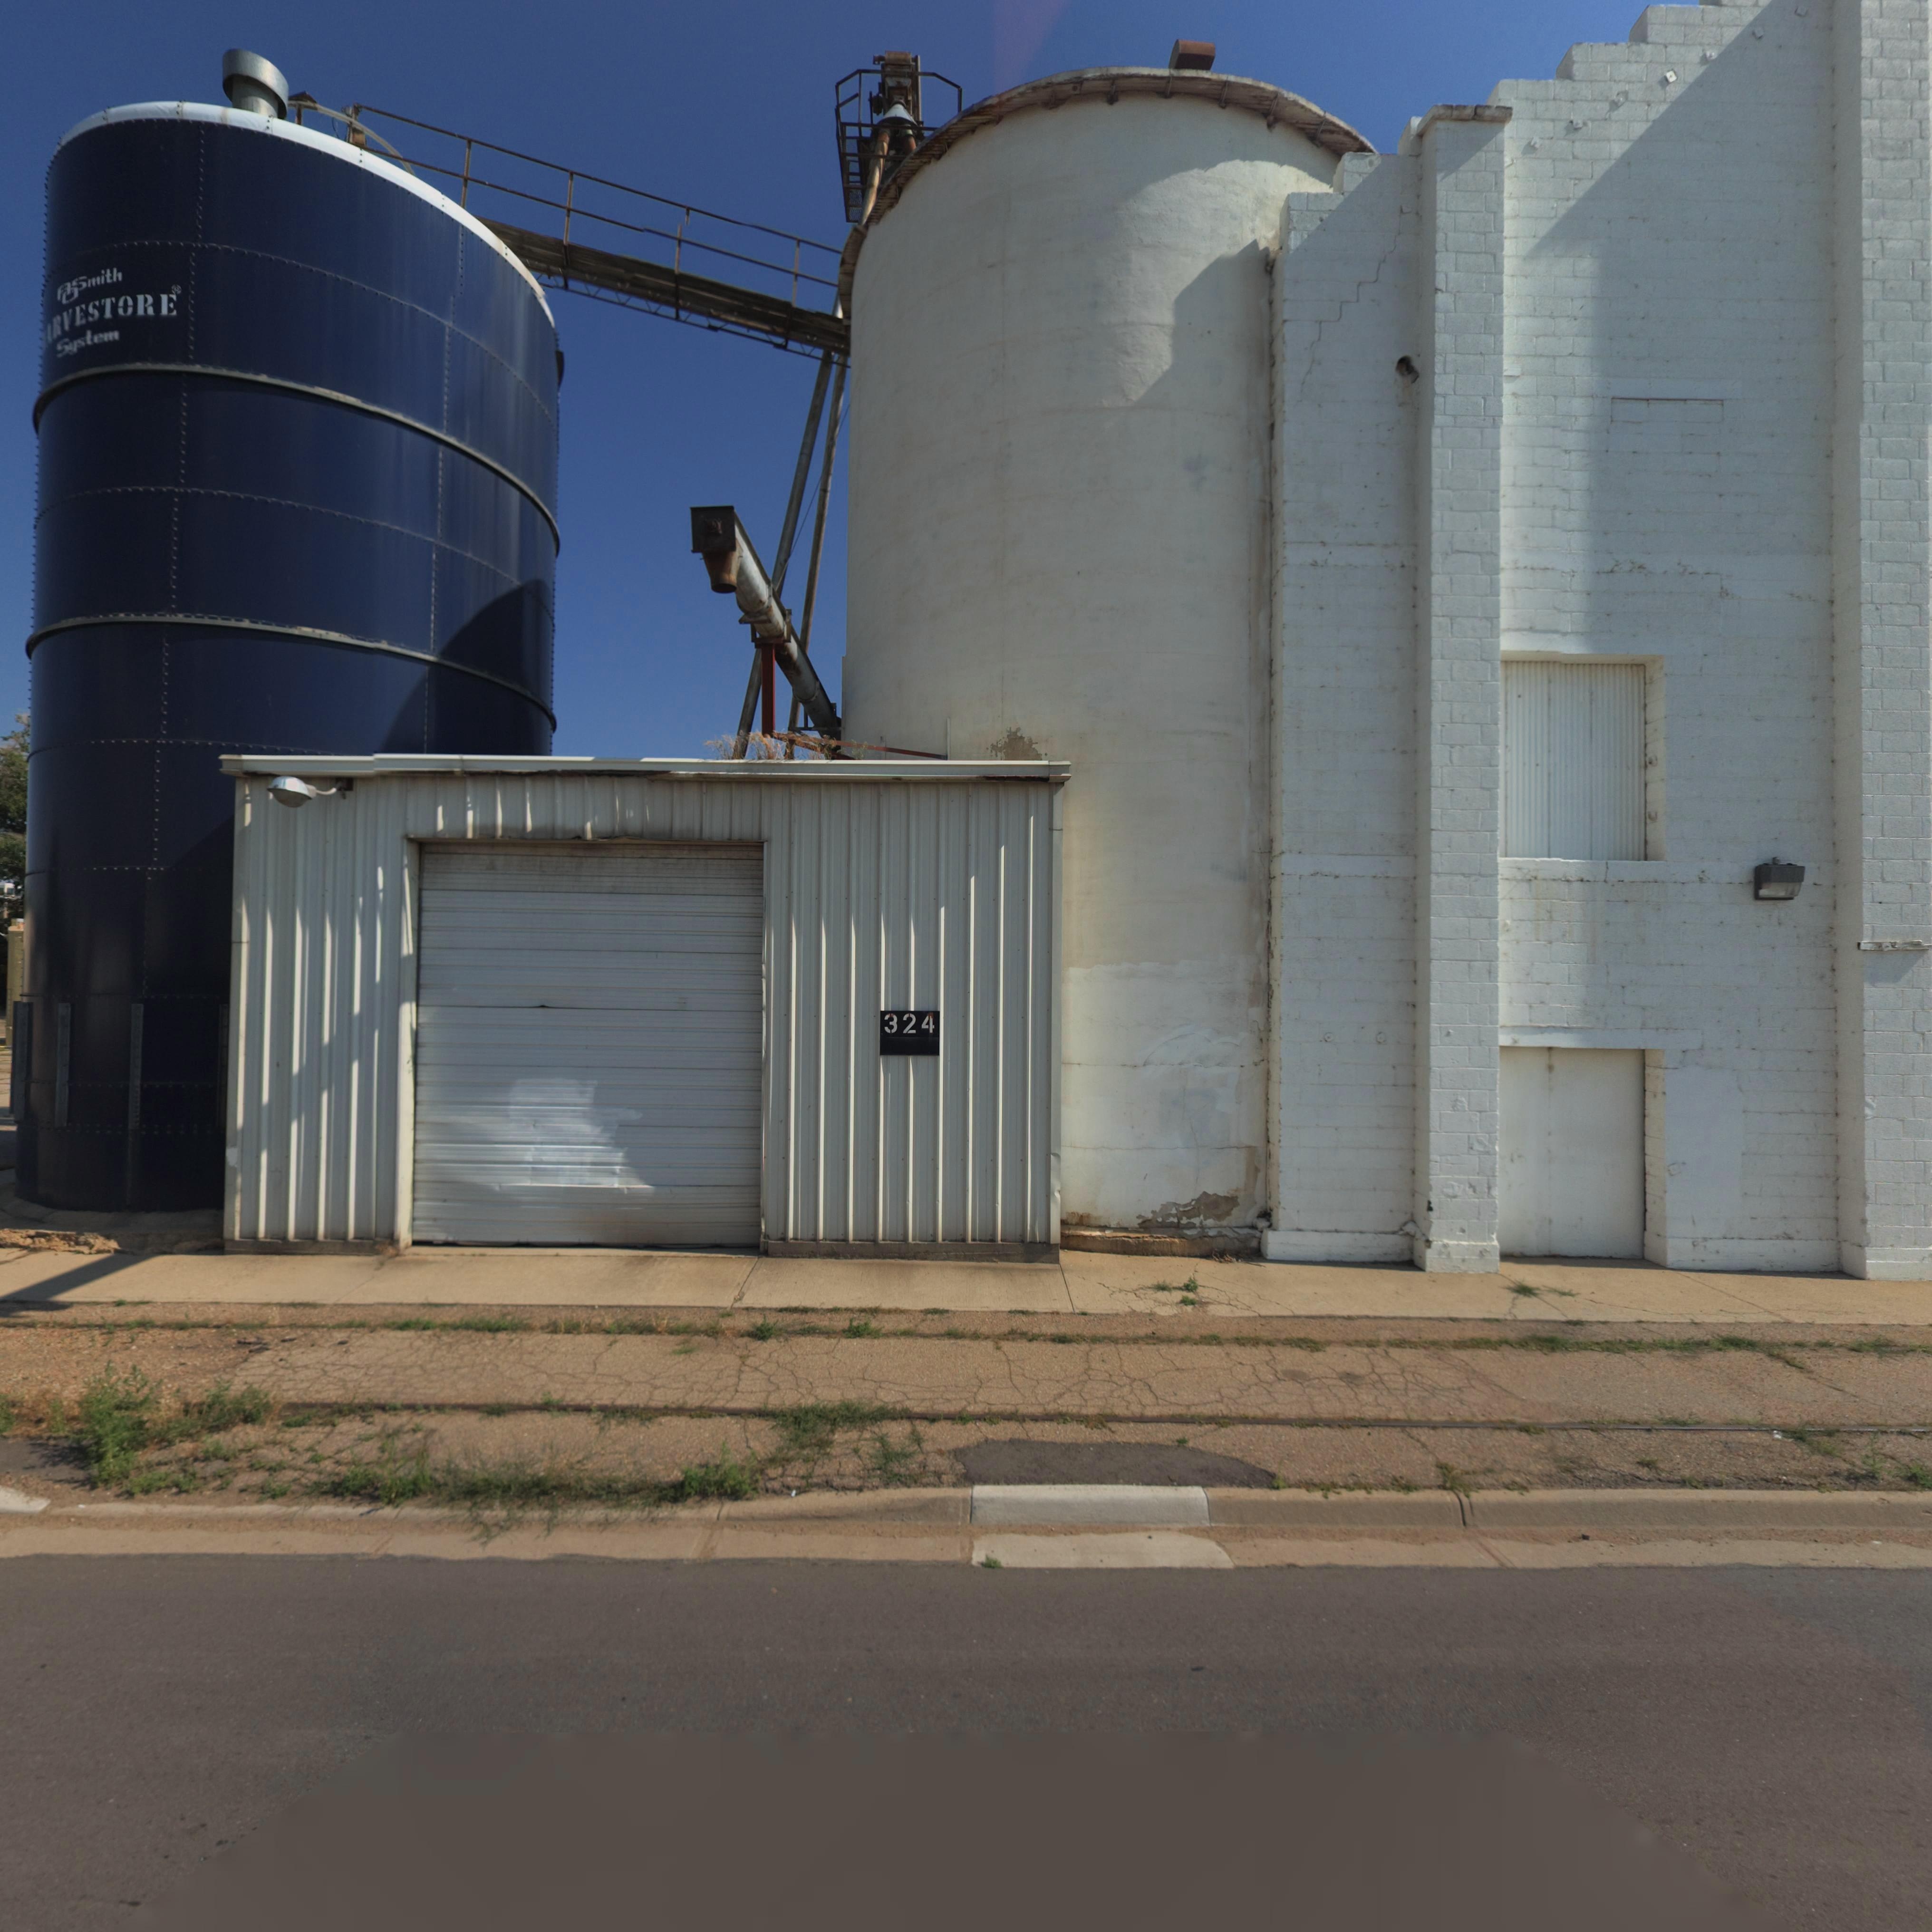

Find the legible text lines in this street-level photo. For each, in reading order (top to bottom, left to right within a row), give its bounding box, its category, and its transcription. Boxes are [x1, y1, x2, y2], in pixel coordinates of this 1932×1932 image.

[56, 267, 123, 305] BusinessName: *mith
[51, 293, 176, 340] BusinessName: RVESTONE
[55, 328, 121, 358] BusinessName: System
[883, 1012, 935, 1033] StreetNumber: 324